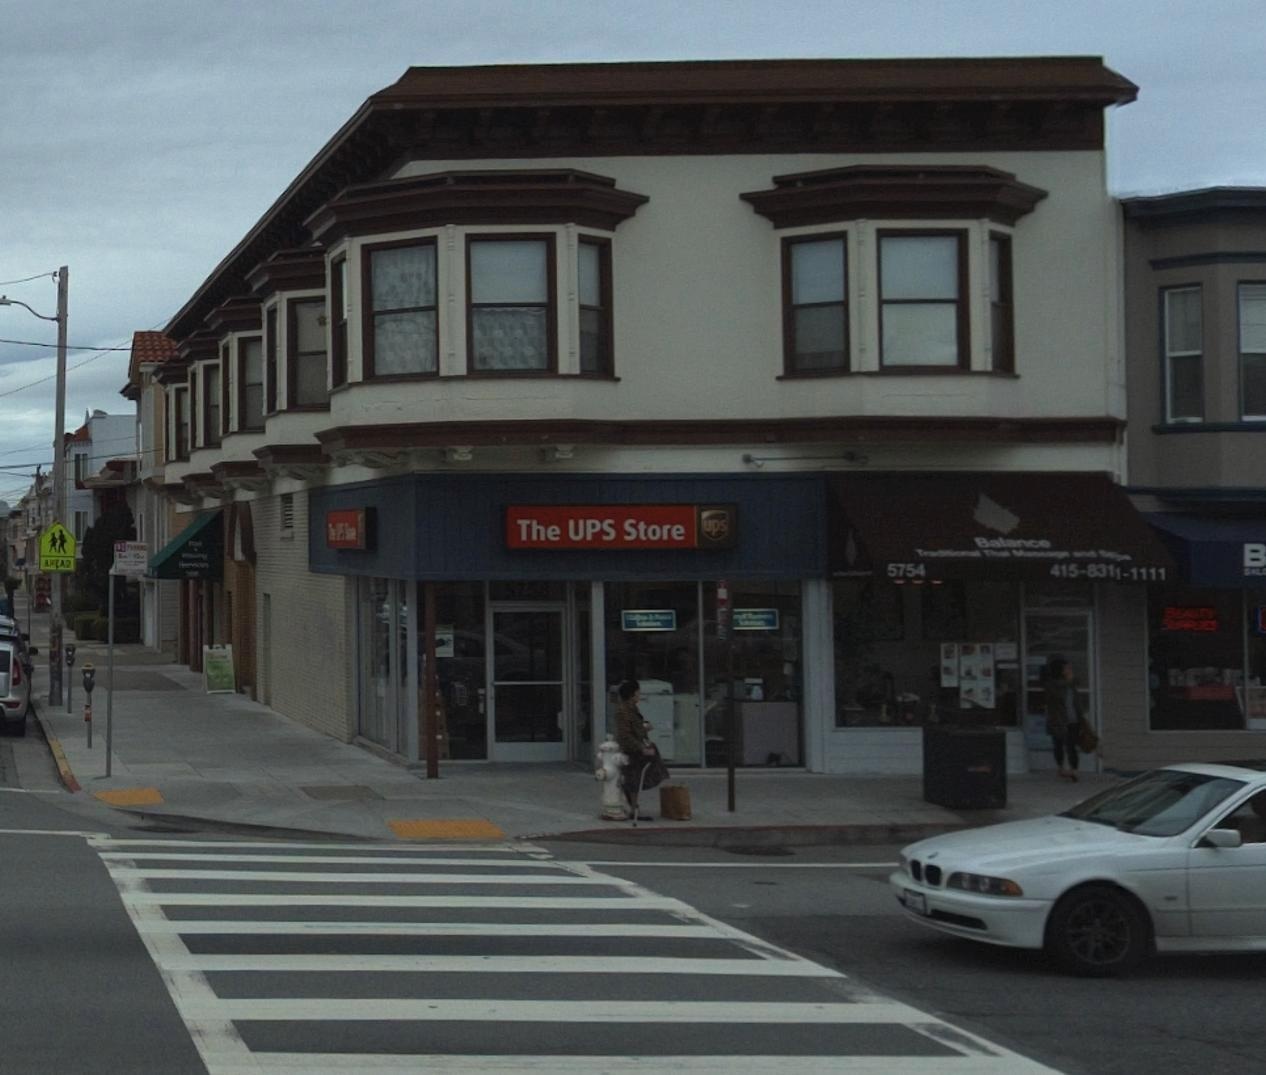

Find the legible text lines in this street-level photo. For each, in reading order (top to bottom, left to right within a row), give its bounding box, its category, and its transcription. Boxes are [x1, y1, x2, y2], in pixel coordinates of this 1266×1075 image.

[513, 516, 688, 544] BusinessName: The UPS Store
[700, 517, 731, 539] BusinessName: UPS
[971, 534, 1054, 551] BusinessName: Ba*anc*
[885, 560, 929, 580] StreetNumber: 5754
[1045, 559, 1169, 584] None: 415-83**-1111